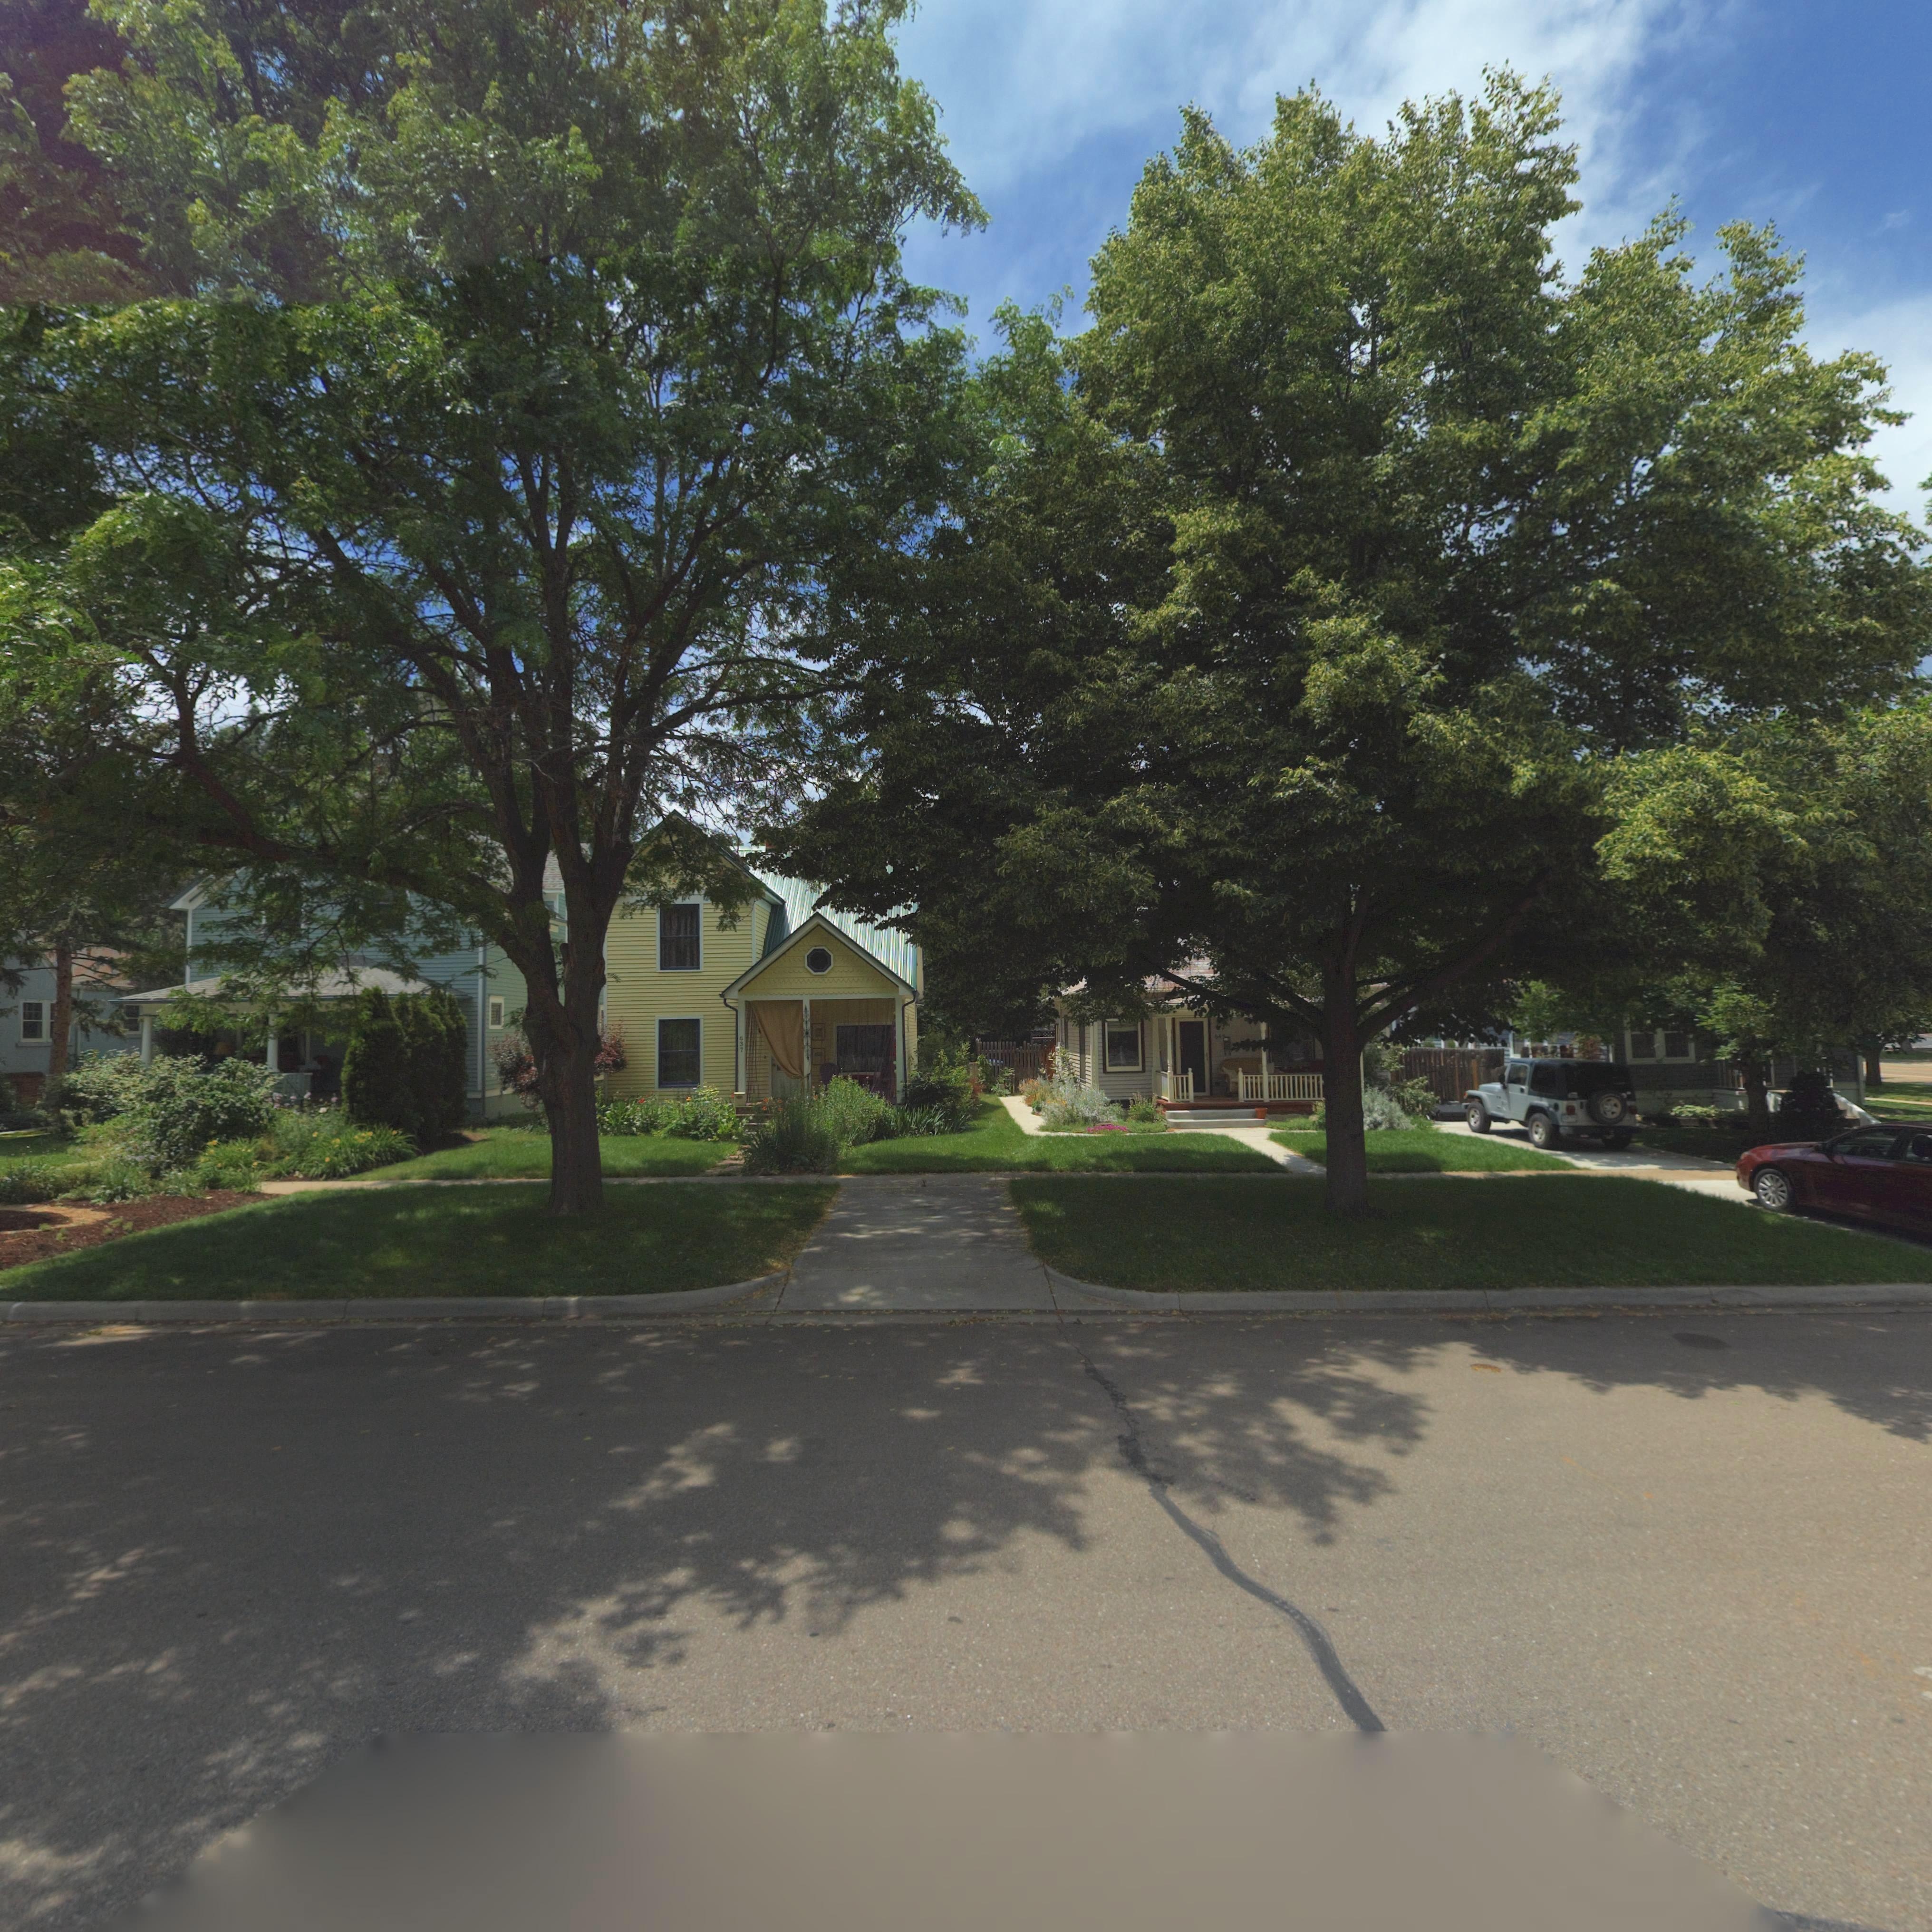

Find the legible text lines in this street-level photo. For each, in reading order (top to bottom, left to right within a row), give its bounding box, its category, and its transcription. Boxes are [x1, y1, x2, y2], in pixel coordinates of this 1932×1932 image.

[739, 1035, 744, 1053] StreetNumber: 637
[1214, 1033, 1226, 1039] StreetNumber: 645